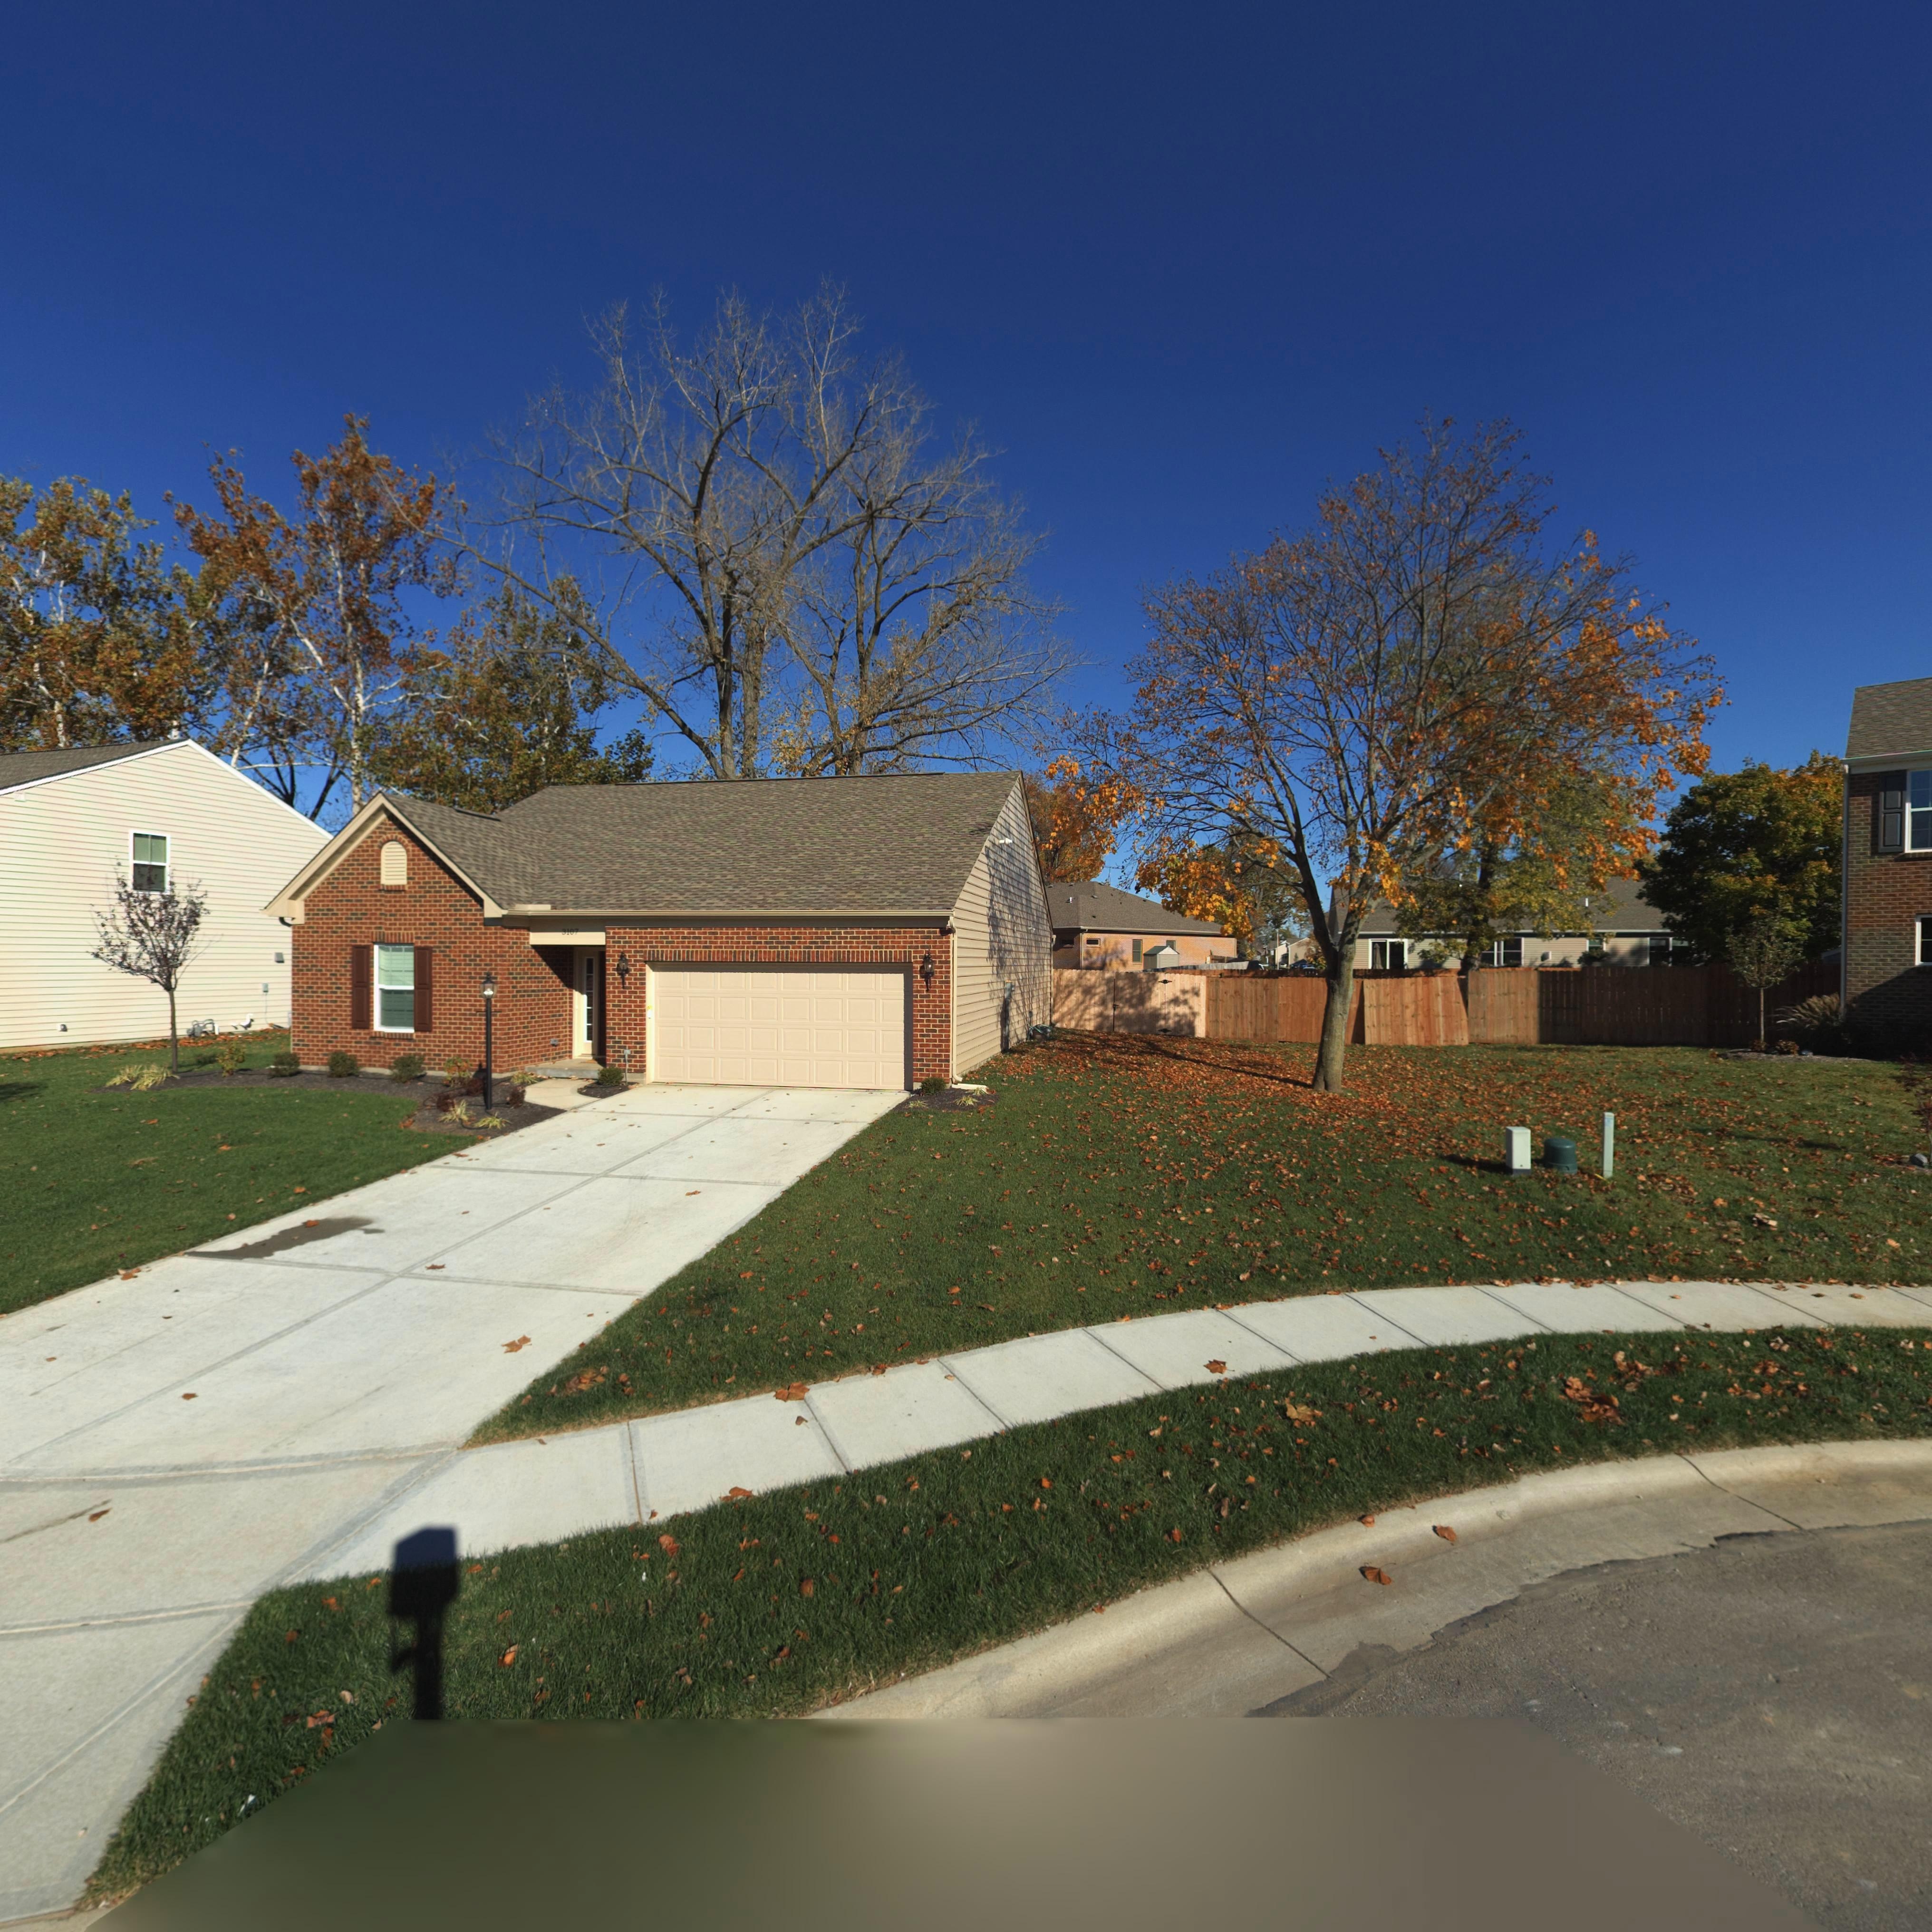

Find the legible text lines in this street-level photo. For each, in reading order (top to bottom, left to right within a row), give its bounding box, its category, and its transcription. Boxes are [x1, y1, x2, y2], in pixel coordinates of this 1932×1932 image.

[561, 928, 580, 935] StreetNumber: 3107